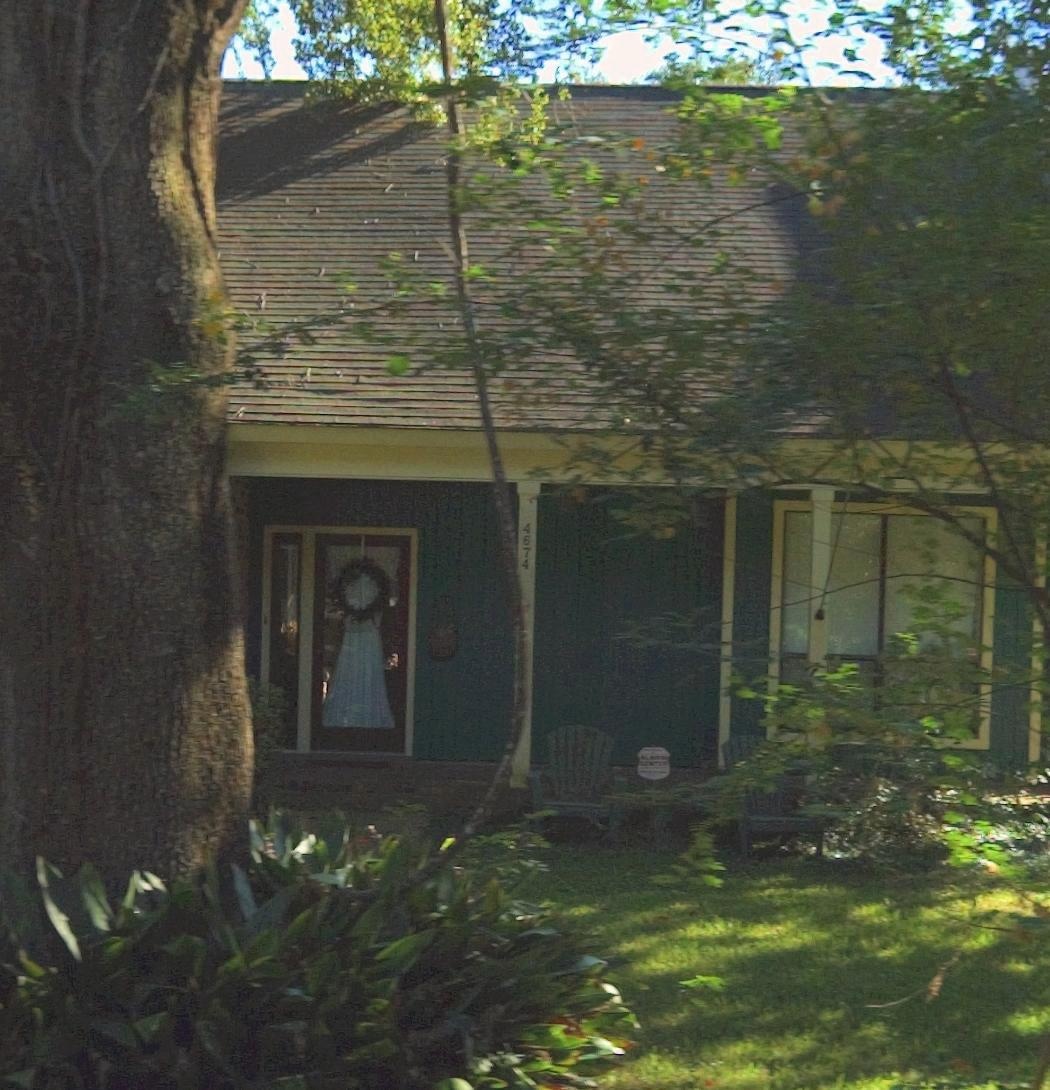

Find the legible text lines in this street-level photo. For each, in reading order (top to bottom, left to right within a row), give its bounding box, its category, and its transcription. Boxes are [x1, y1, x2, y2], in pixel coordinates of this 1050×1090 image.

[519, 521, 533, 572] StreetNumber: 4674